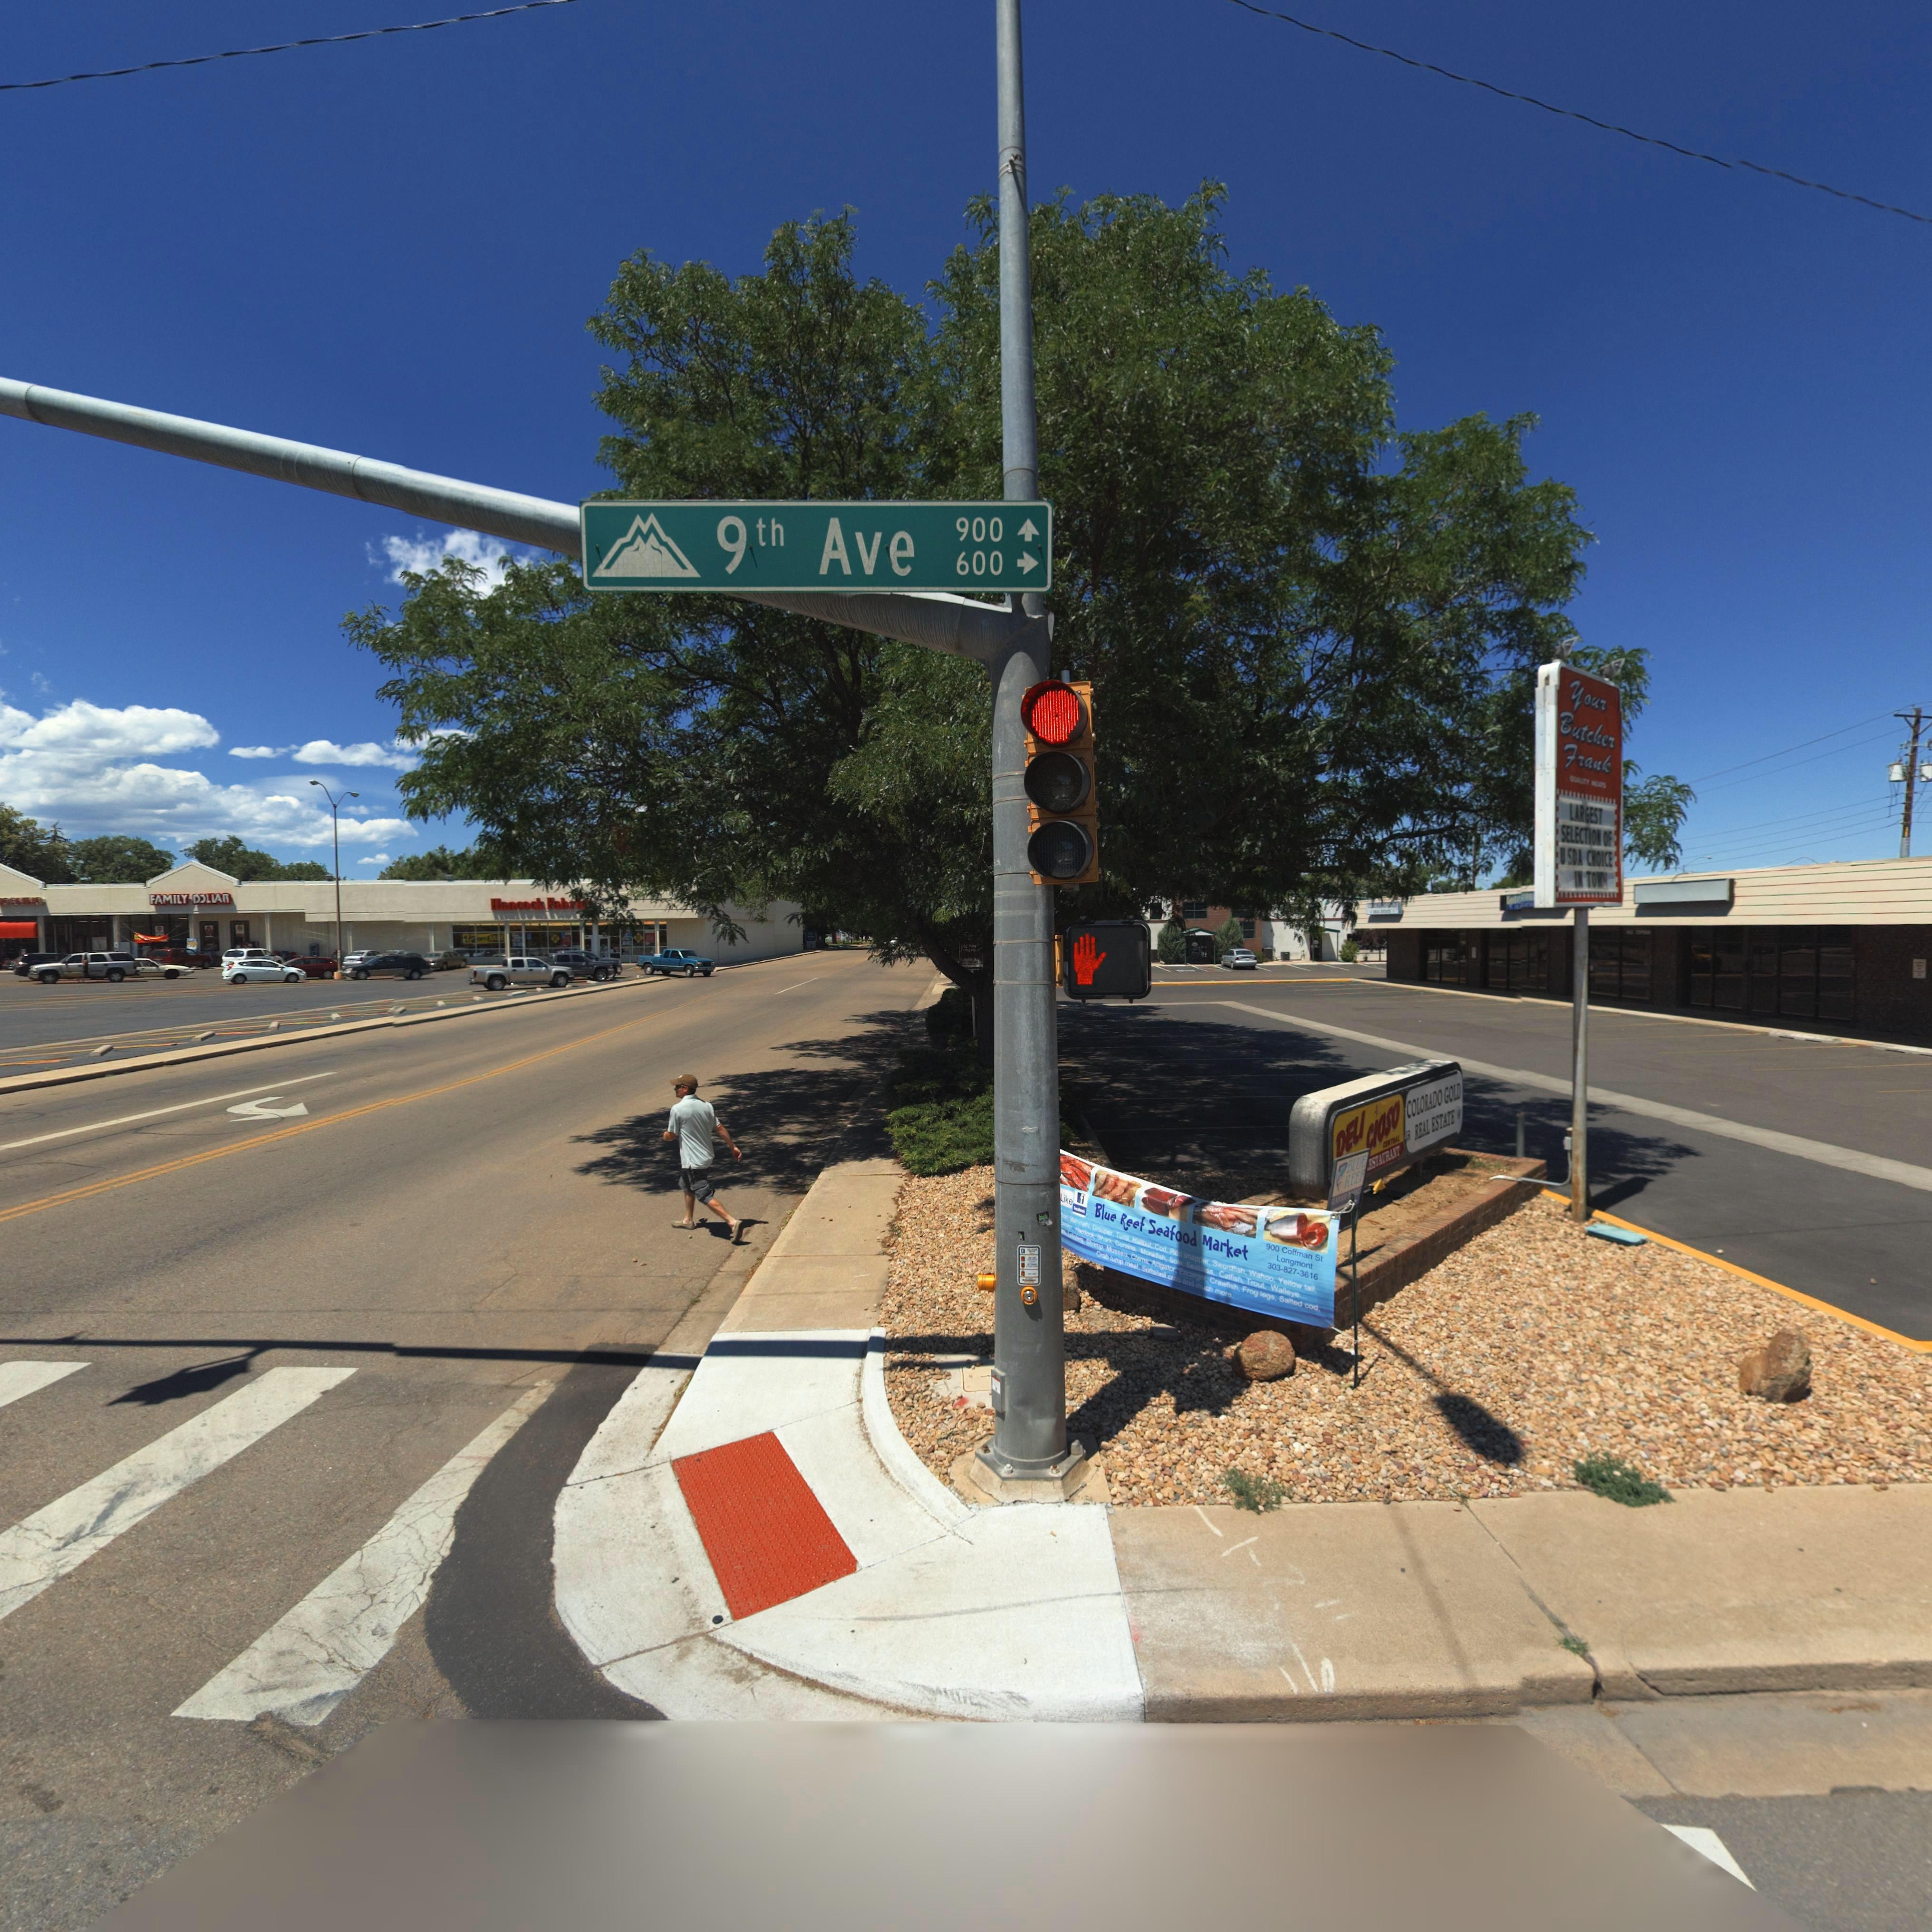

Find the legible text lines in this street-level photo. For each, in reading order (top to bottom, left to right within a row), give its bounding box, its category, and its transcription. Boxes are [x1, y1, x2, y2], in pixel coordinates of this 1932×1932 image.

[955, 514, 1005, 543] StreetNumberRange: 900
[712, 513, 917, 577] StreetName: 9th Ave
[955, 550, 1041, 577] StreetNumberRange: 600 ->
[1569, 678, 1607, 713] BusinessName: *ou*
[1560, 710, 1616, 751] BusinessName: Butche*
[1563, 741, 1612, 775] BusinessName: **ank
[1560, 824, 1612, 847] None: l
[149, 892, 230, 905] BusinessName: FAMILY D**L*R
[490, 896, 589, 910] BusinessName: Hancock Fabr***
[1366, 902, 1397, 908] BusinessName: C******* **LD
[1373, 909, 1392, 913] BusinessName: RE*L ****TE
[1515, 892, 1532, 904] BusinessName: B**UE
[1514, 901, 1533, 909] BusinessName: SEA**** ******
[1406, 1082, 1461, 1119] BusinessName: COLORADO GOLD
[1334, 1109, 1367, 1159] BusinessName: DELI
[1365, 1099, 1401, 1152] BusinessName: c*oso
[1382, 1134, 1400, 1149] BusinessName: CENTRAL
[1414, 1109, 1455, 1140] BusinessName: REAL ESTATE
[1347, 1154, 1368, 1173] BusinessName: BLUE
[1368, 1145, 1401, 1170] BusinessName: ESTAURANT
[1343, 1169, 1365, 1189] BusinessName: REEF
[1331, 1185, 1363, 1206] BusinessName: SEA*OOD ****ET
[1094, 1201, 1249, 1261] BusinessName: Blue Reef Seafood Market
[1265, 1243, 1280, 1252] StreetNumber: 900
[1281, 1246, 1323, 1262] StreetName: Coffman St